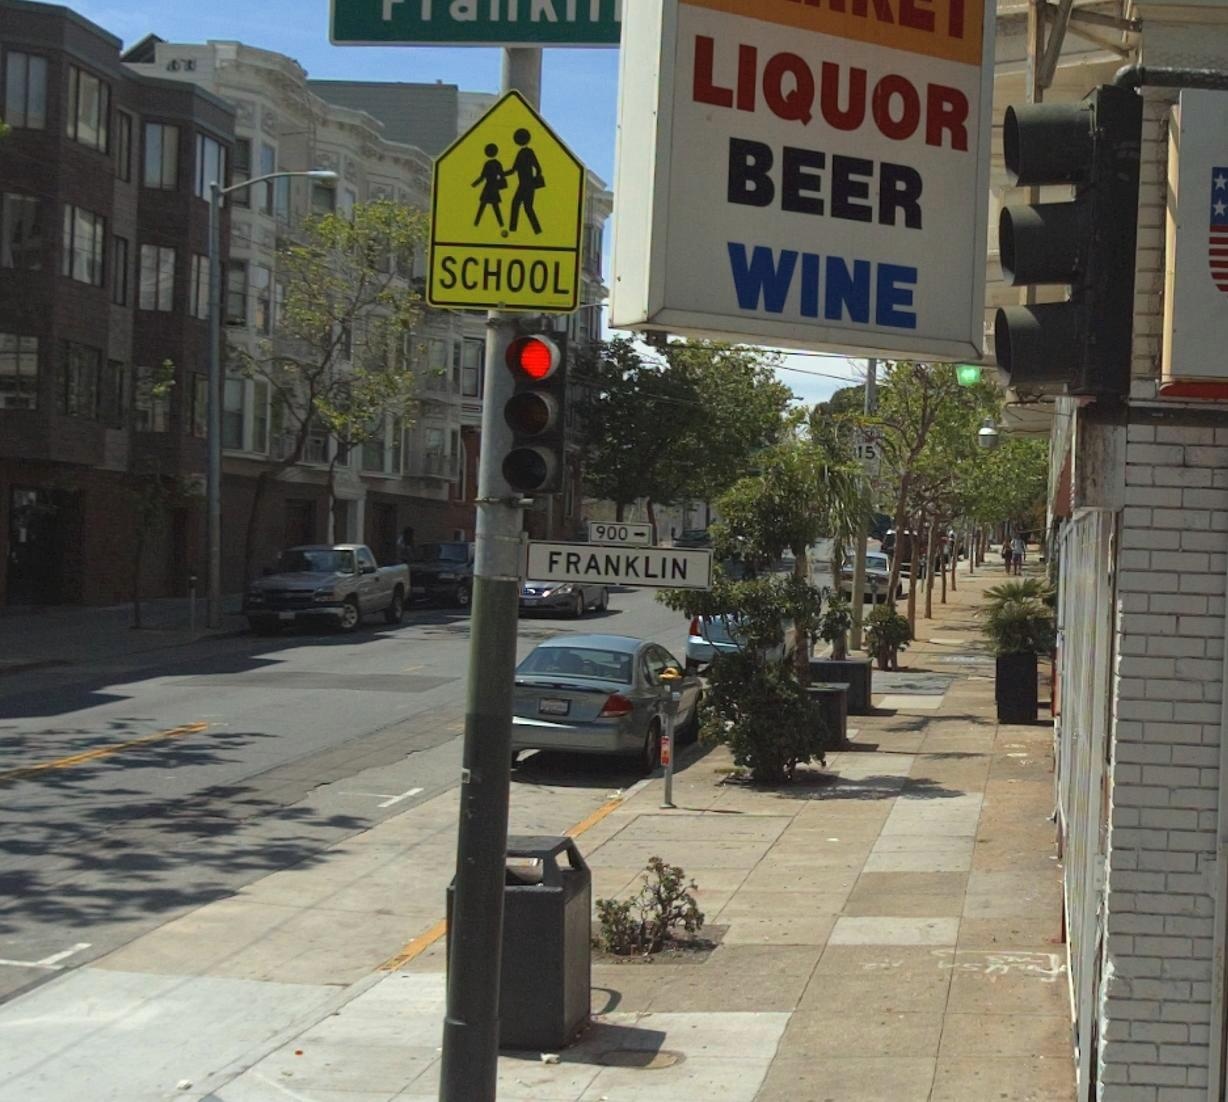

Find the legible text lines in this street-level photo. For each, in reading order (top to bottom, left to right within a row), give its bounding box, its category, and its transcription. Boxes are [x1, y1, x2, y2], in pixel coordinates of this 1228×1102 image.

[689, 27, 975, 156] None: LIQUOR
[725, 130, 925, 232] None: BEER
[437, 253, 571, 297] None: SCHOOL
[721, 237, 921, 332] None: WINE
[545, 548, 691, 583] StreetName: FRANKLIN
[593, 522, 650, 546] StreetNumberRange: 900->